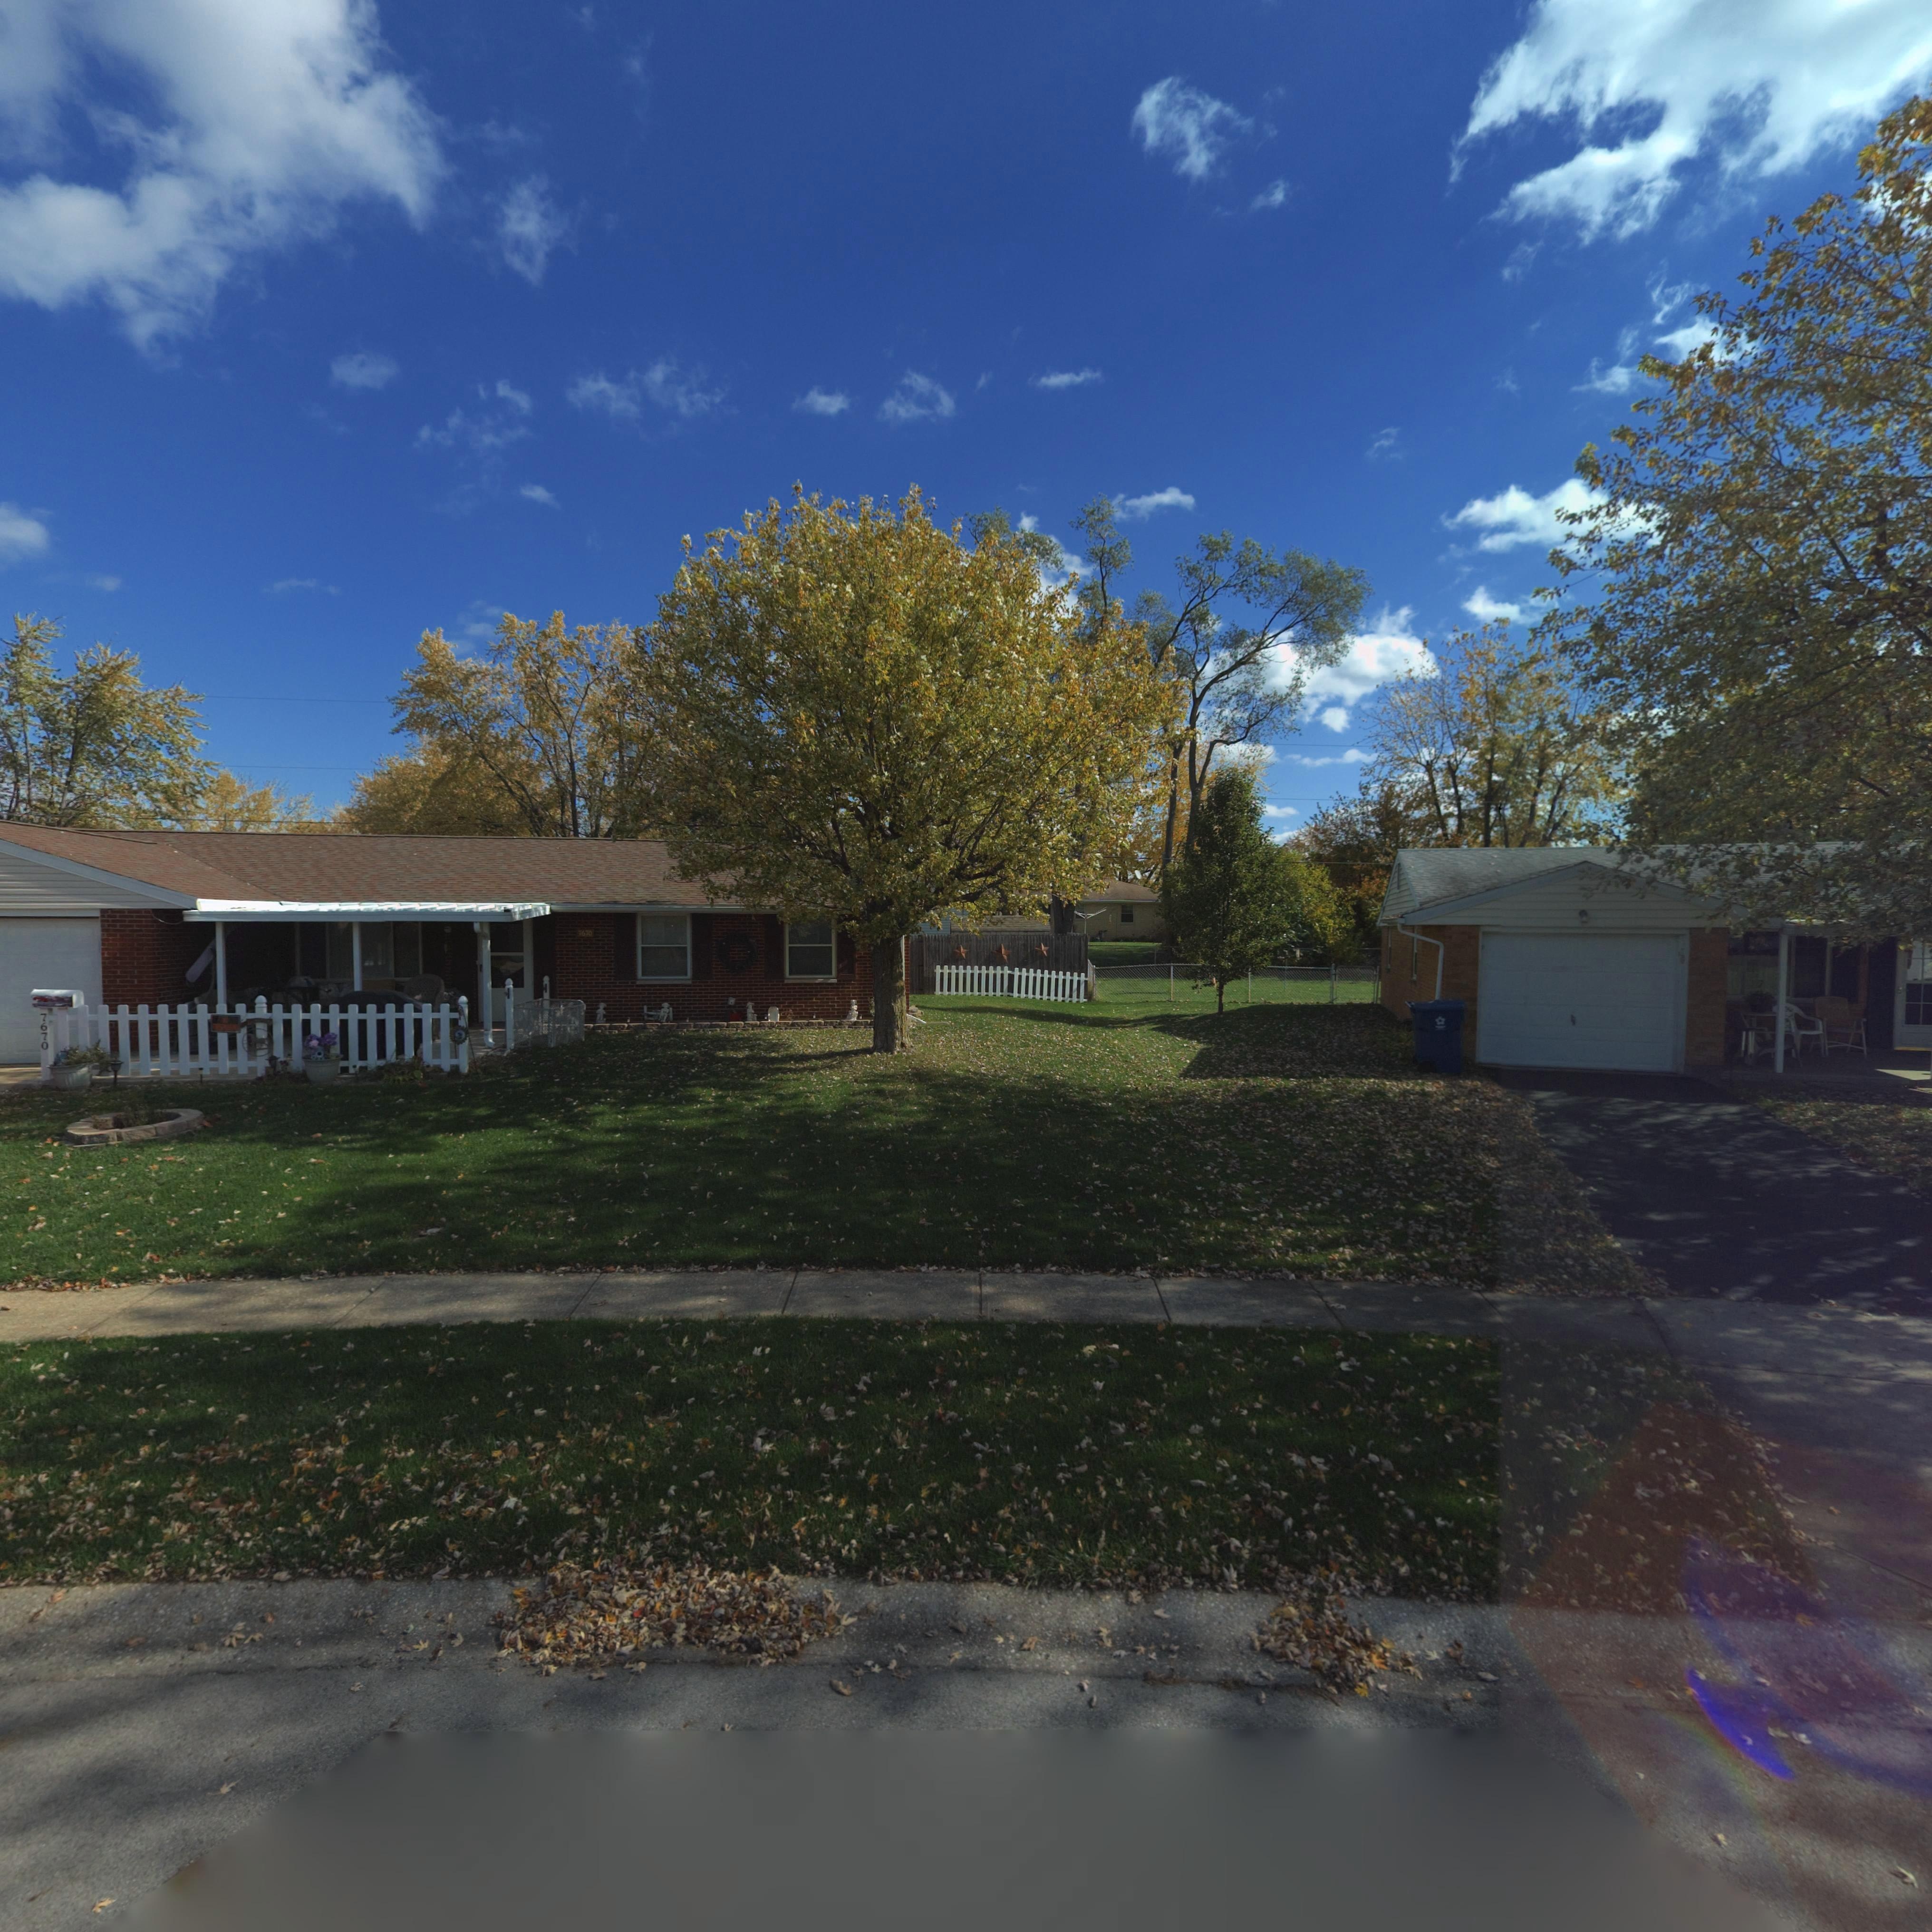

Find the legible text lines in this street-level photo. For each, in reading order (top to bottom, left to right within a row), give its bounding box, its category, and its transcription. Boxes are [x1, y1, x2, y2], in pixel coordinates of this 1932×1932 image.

[578, 929, 593, 937] StreetNumber: 7670
[39, 1013, 48, 1050] StreetNumber: 7670